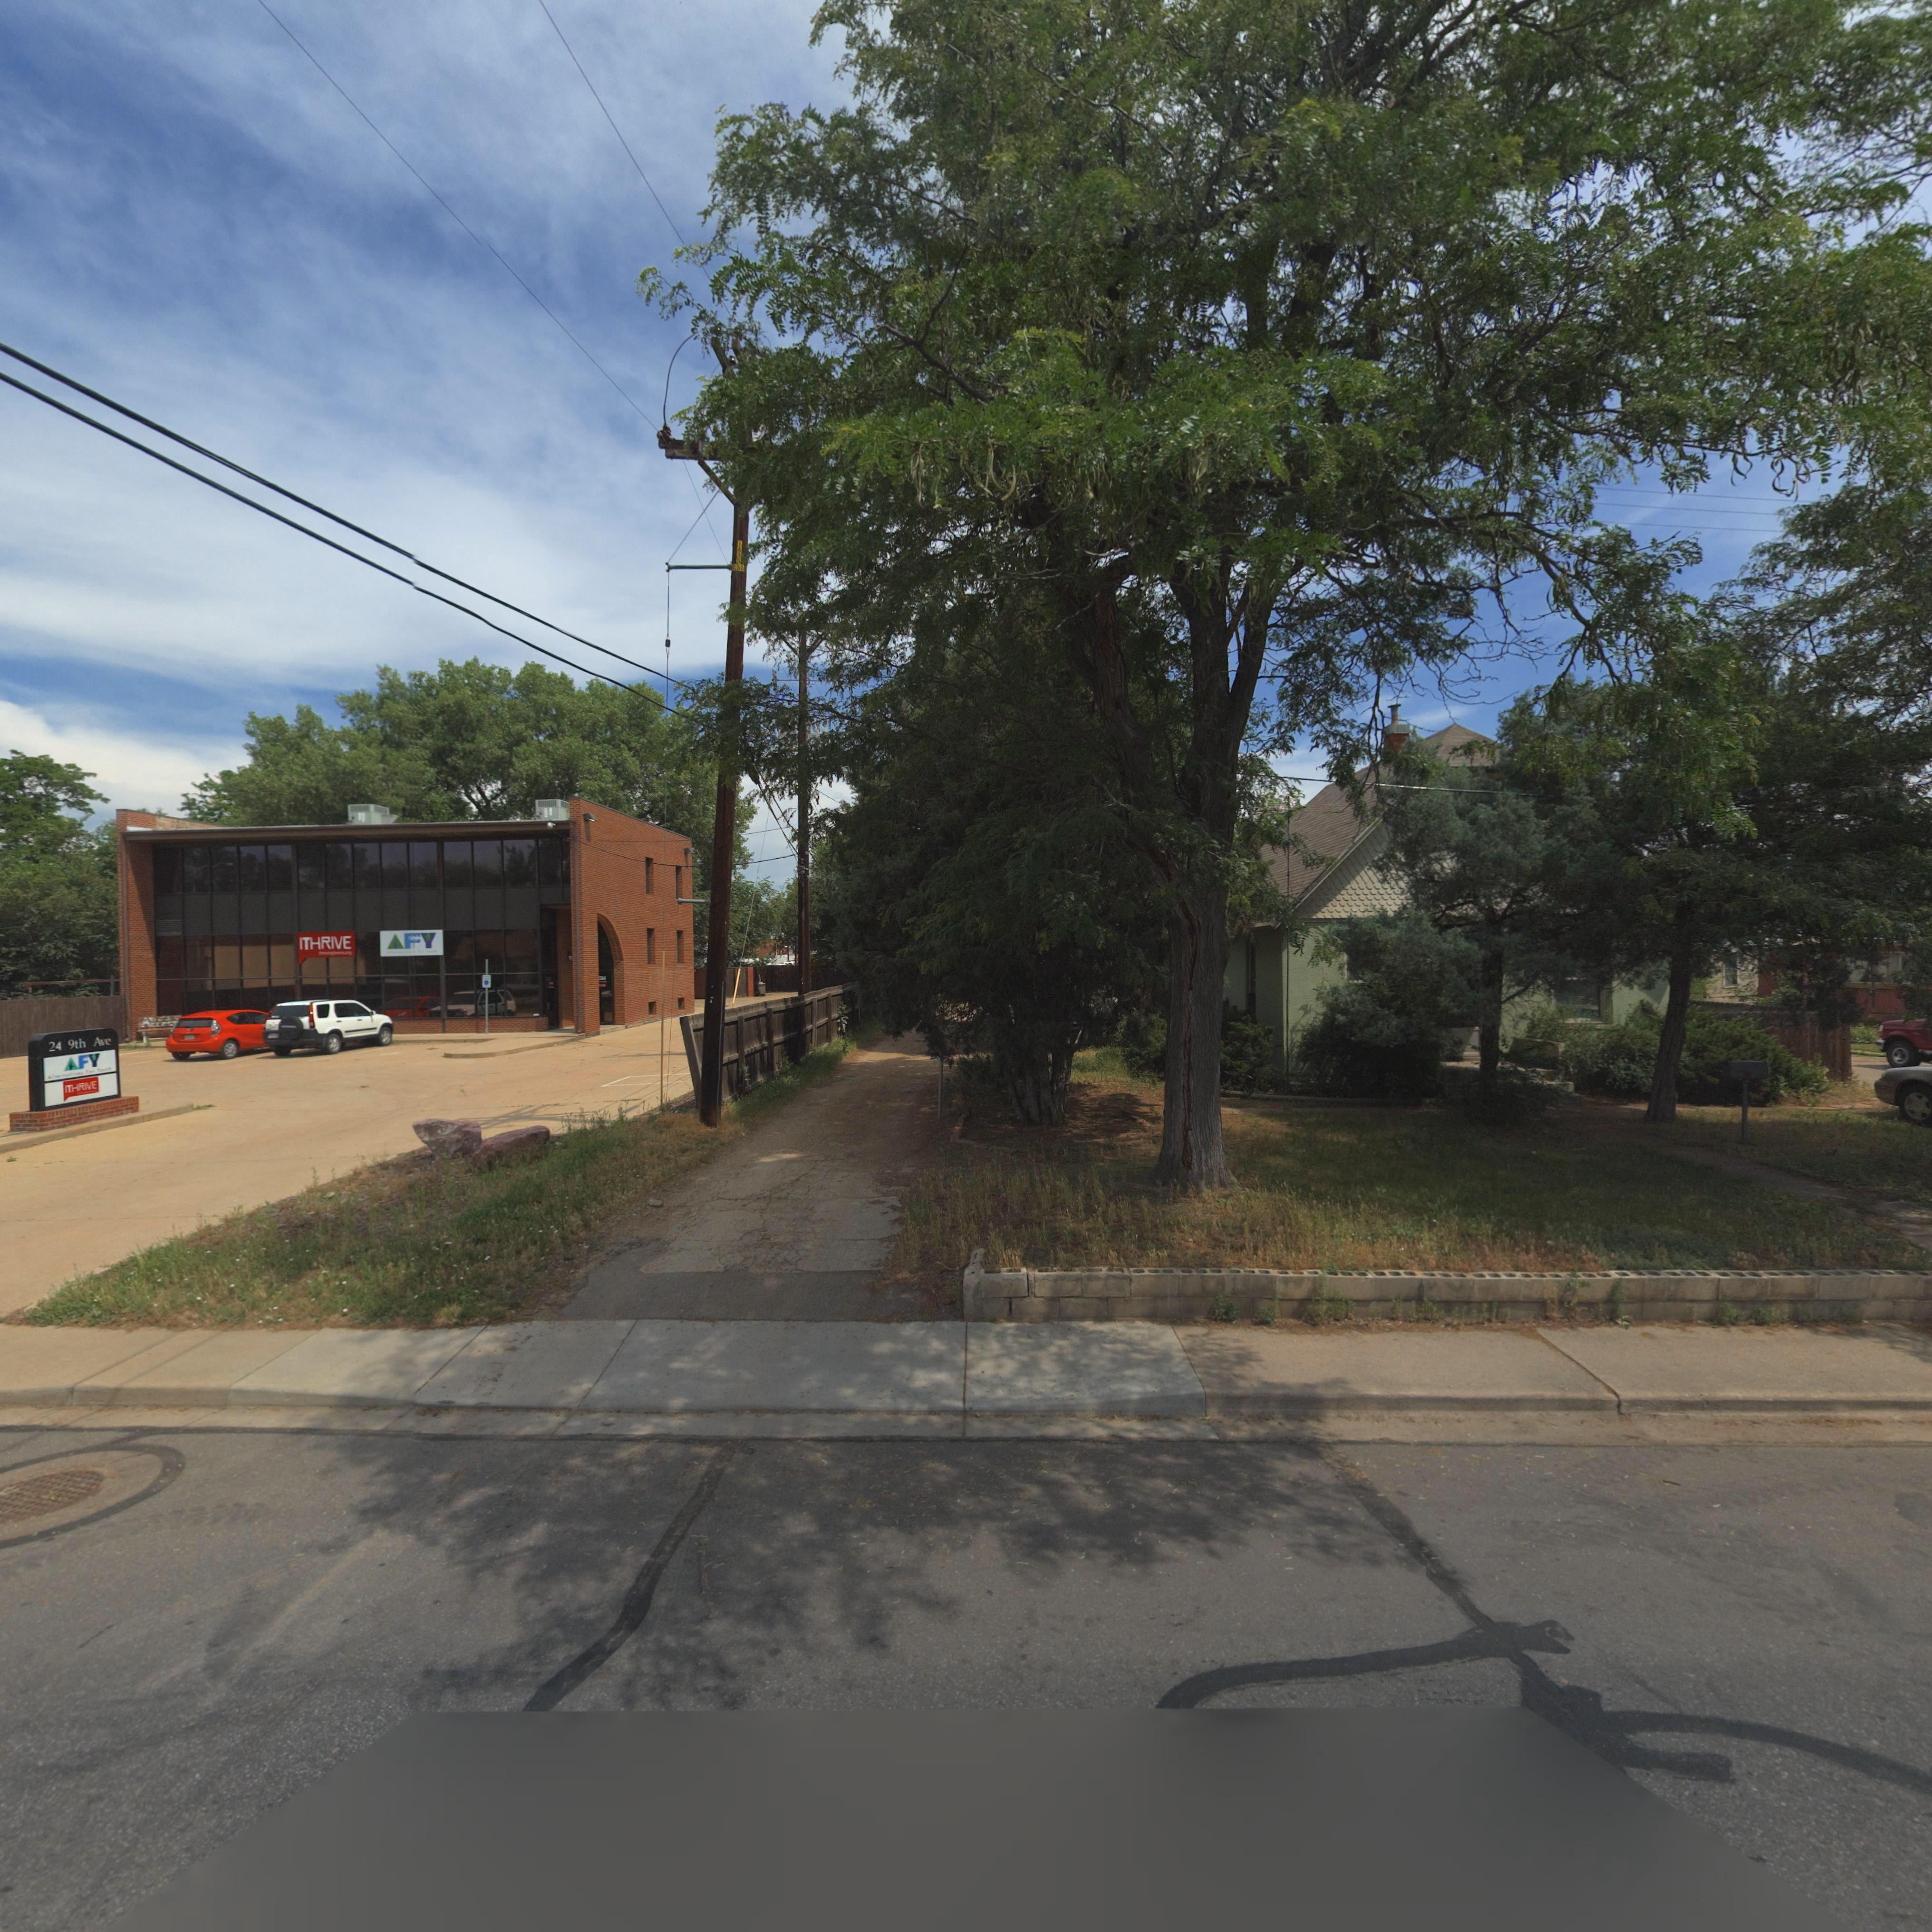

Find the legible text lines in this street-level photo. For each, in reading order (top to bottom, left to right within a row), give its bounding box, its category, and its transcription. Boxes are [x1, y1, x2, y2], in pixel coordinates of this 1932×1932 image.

[299, 935, 352, 950] BusinessName: ITHRIVE
[385, 932, 436, 949] BusinessName: *FY
[47, 1040, 63, 1053] StreetNumber: 24
[67, 1036, 112, 1050] StreetName: 9th A*e
[62, 1052, 101, 1072] BusinessName: *FY